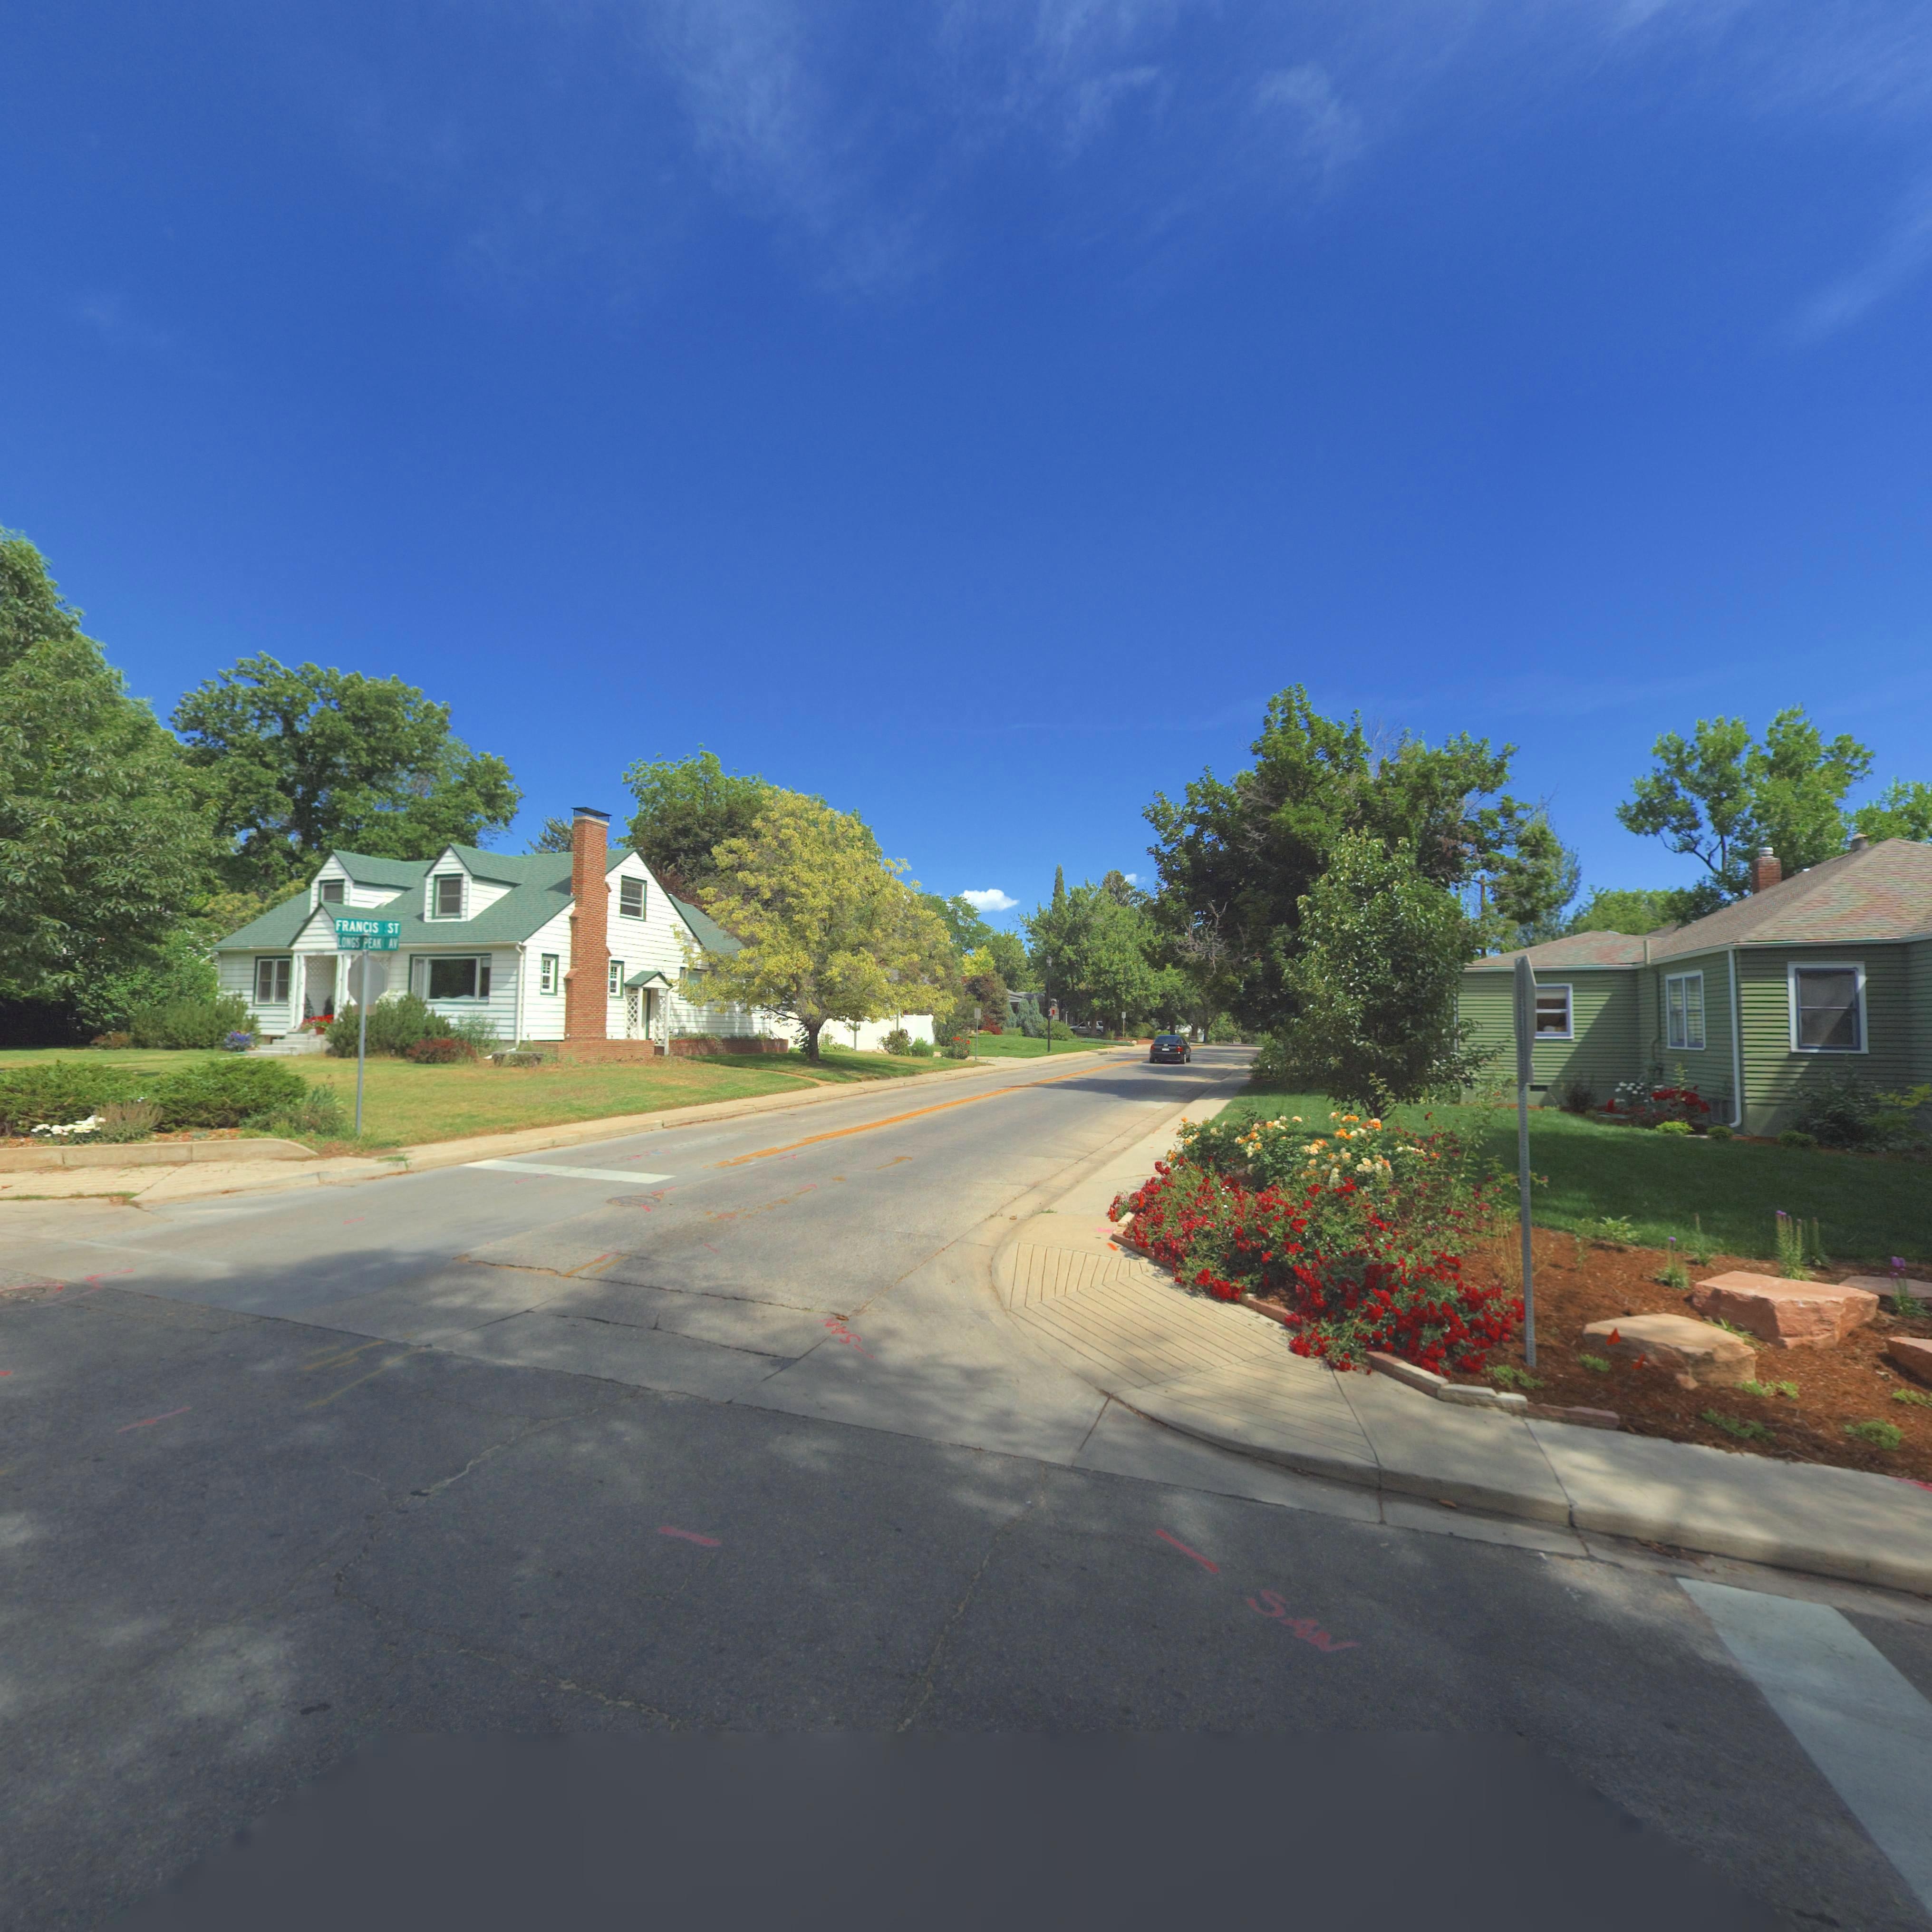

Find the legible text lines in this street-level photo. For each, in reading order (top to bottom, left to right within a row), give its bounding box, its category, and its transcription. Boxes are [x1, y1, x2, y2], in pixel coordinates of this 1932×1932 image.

[336, 920, 399, 933] StreetName: FRACNCIS ST
[337, 937, 398, 948] StreetName: LONGS PEAK AV